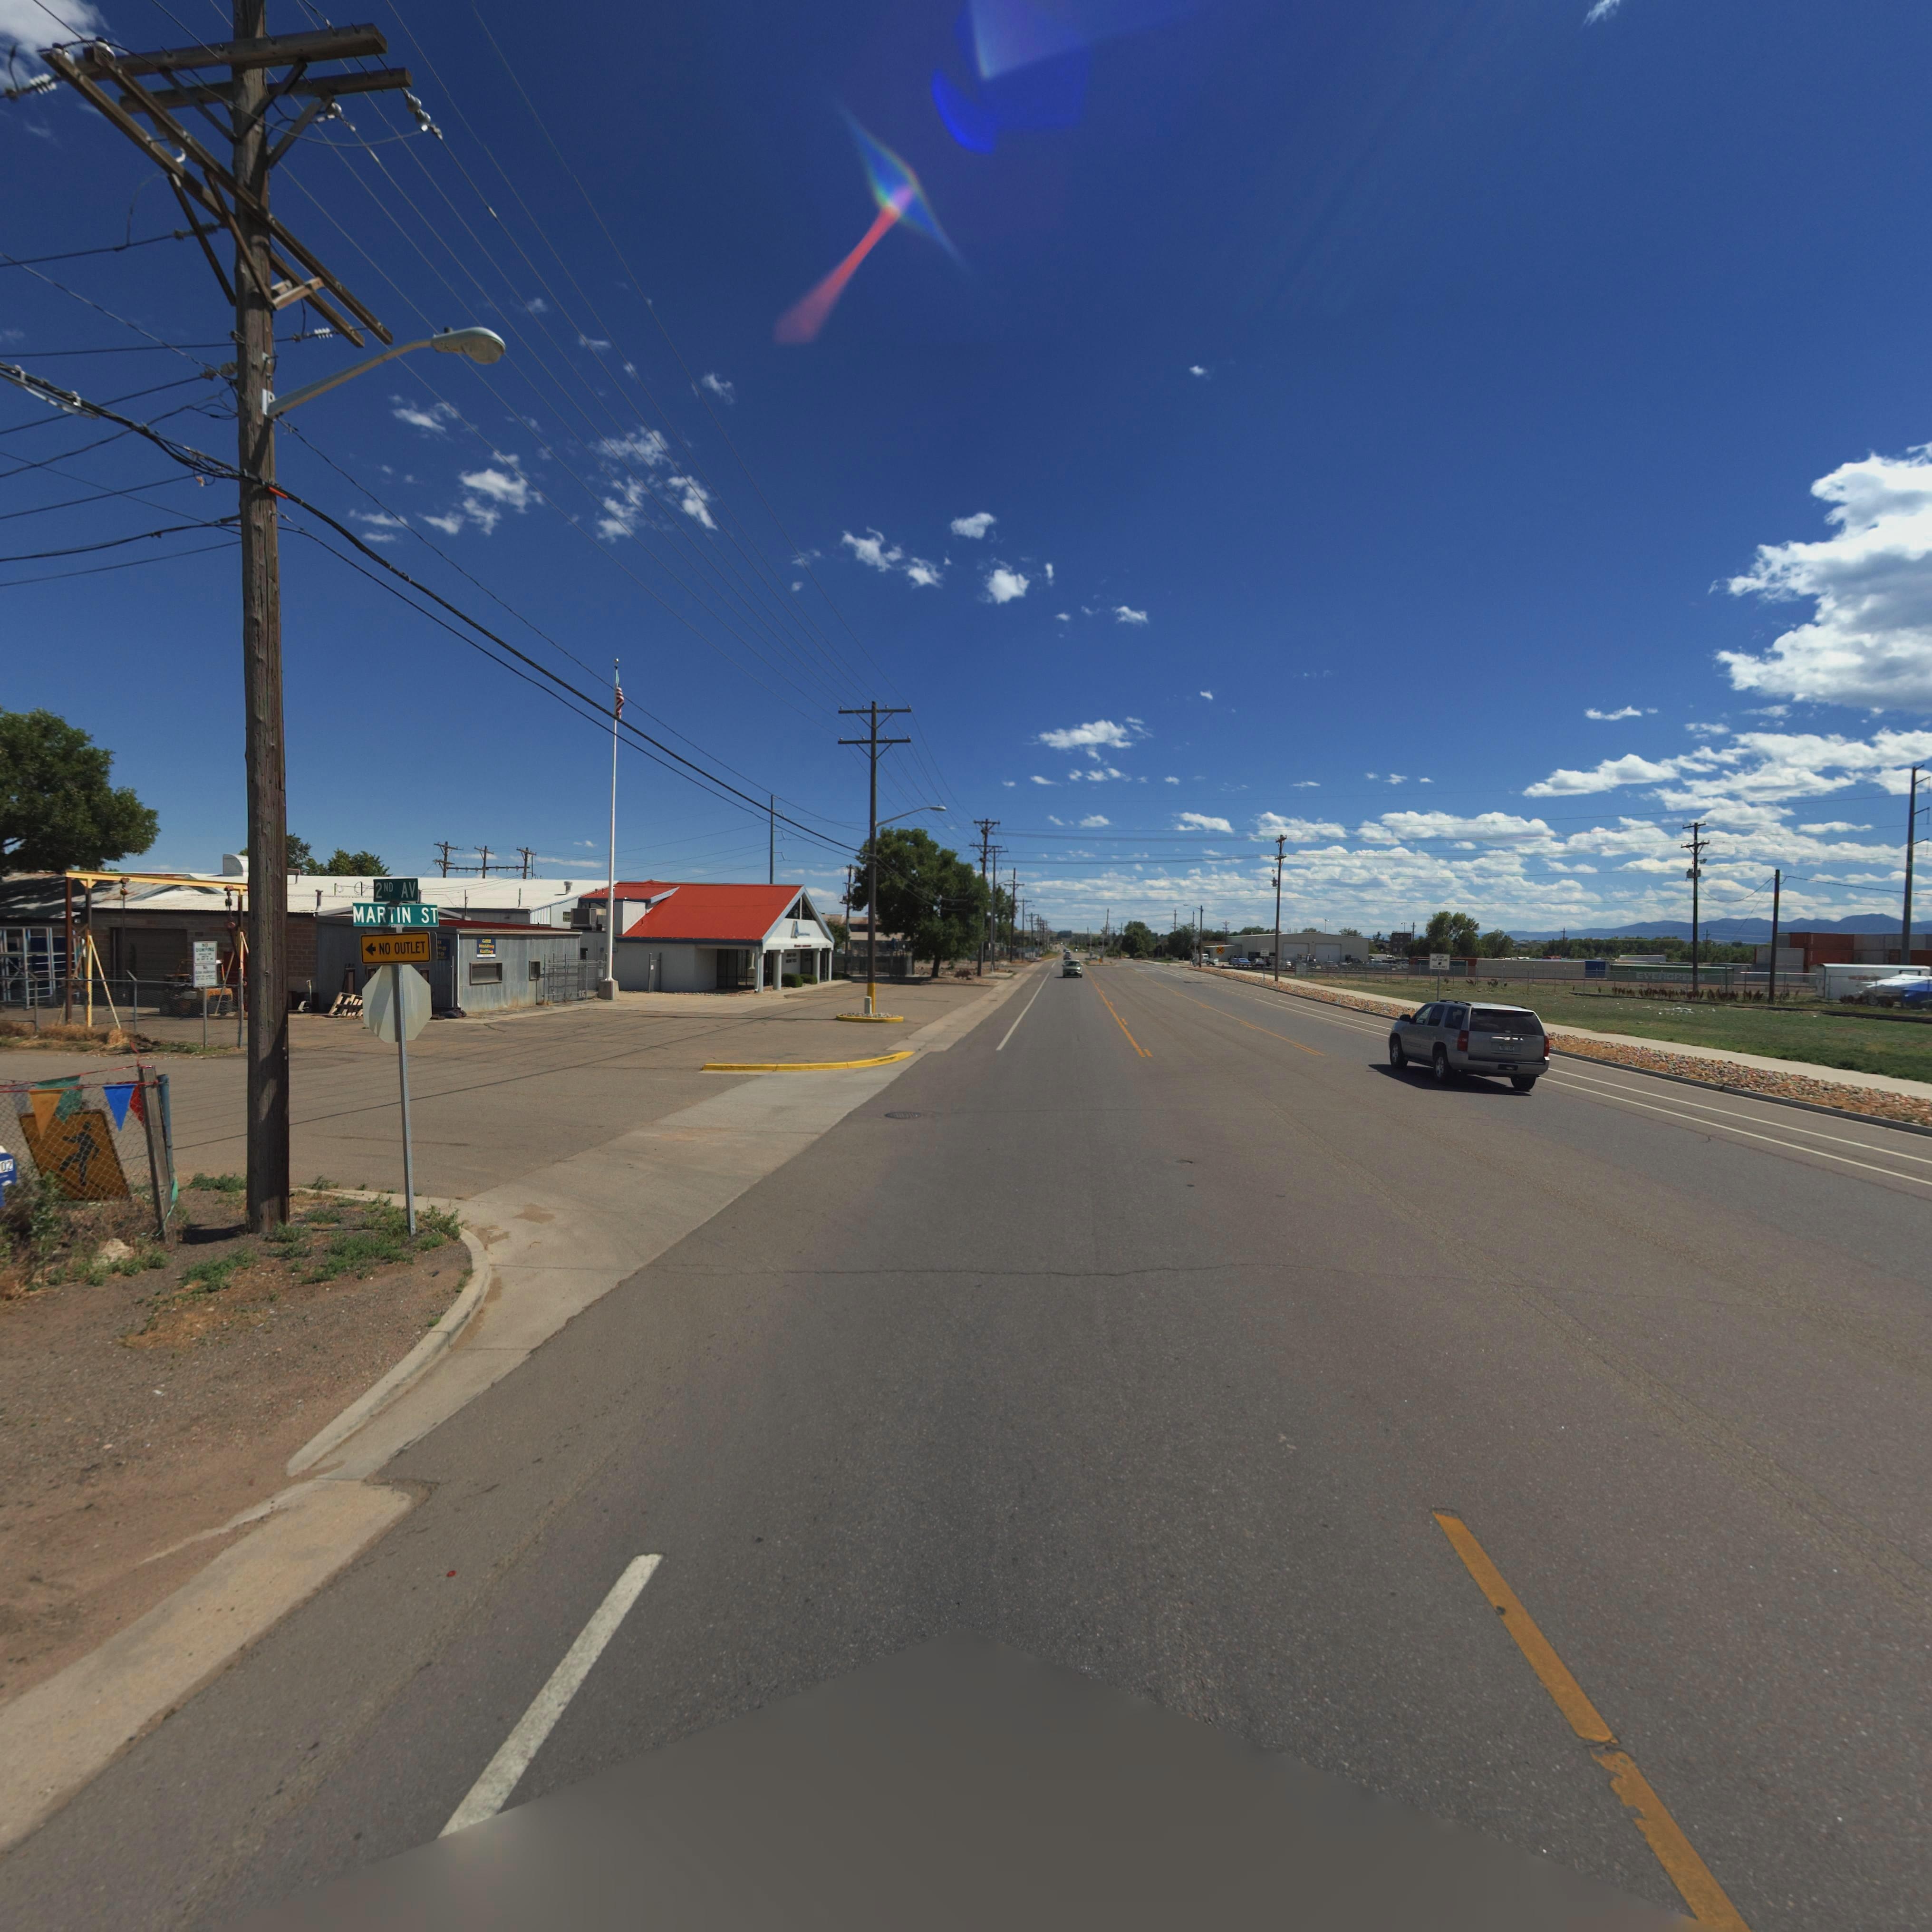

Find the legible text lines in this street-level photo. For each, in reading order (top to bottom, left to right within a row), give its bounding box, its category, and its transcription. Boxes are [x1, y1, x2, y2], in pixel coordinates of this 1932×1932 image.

[375, 881, 415, 898] StreetName: 2ND AV
[353, 906, 437, 923] StreetName: MARTIN ST
[482, 939, 491, 943] BusinessName: GMB
[0, 1160, 14, 1172] StreetNumber: 02